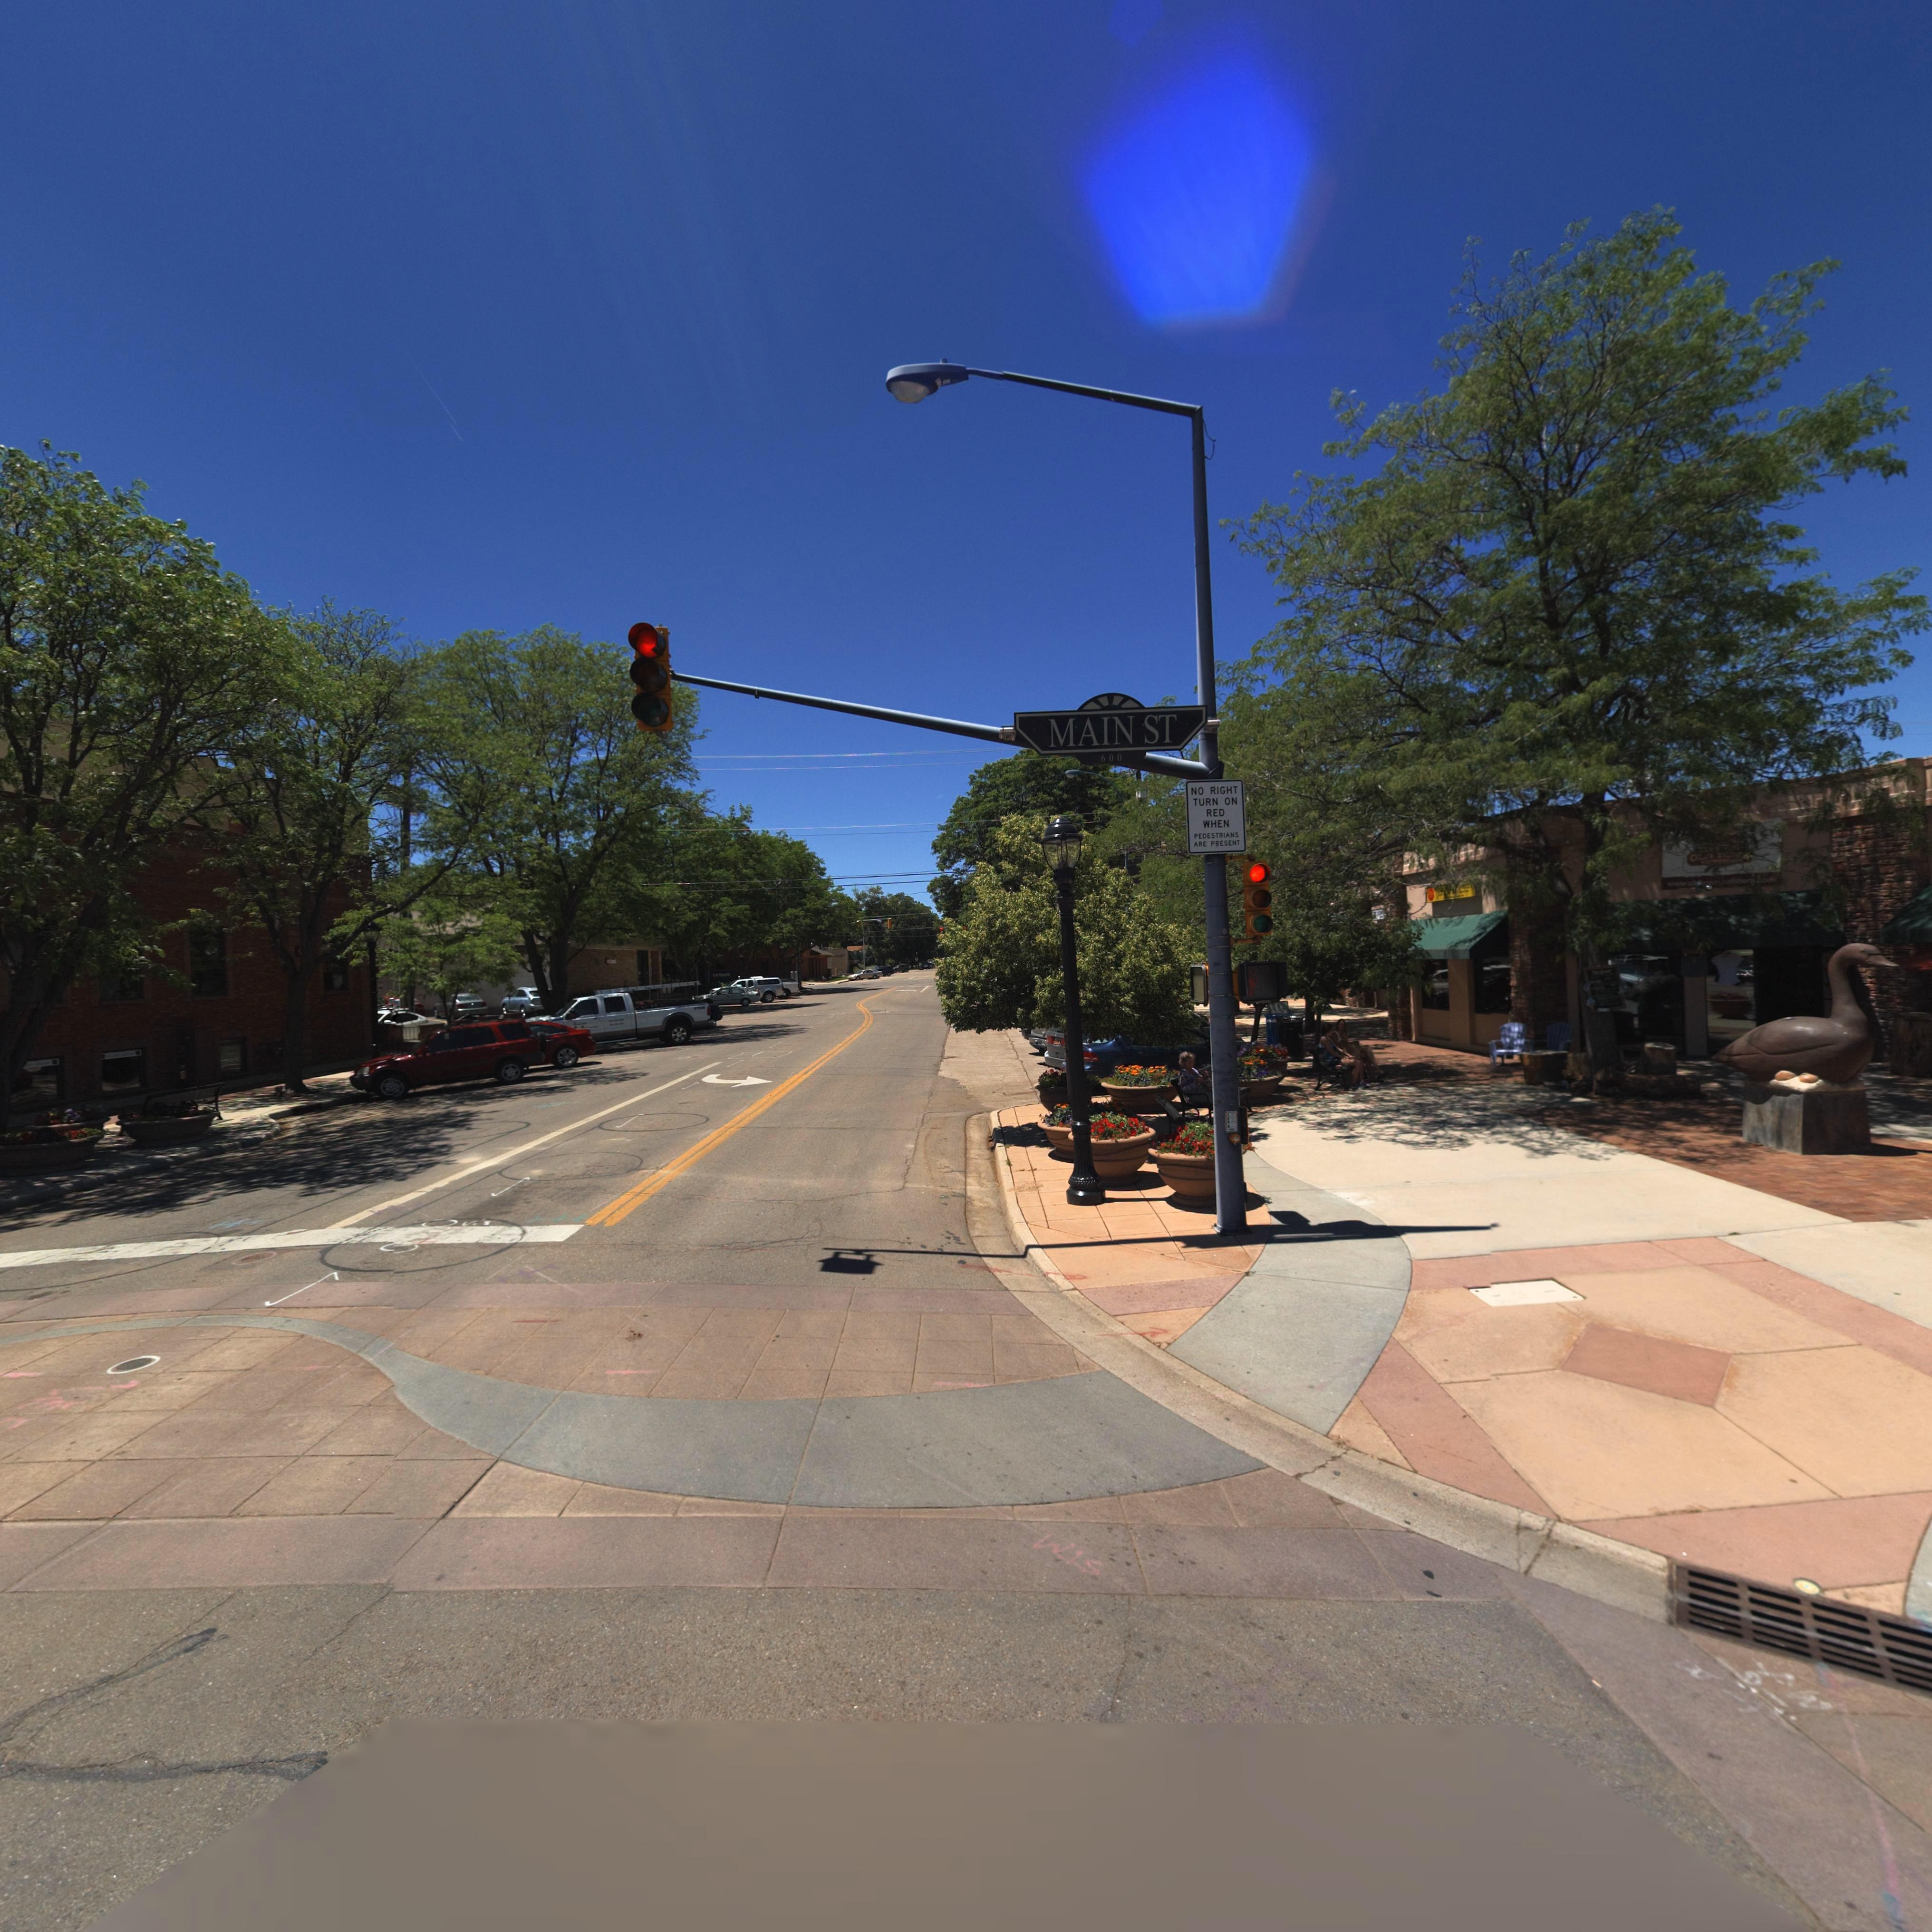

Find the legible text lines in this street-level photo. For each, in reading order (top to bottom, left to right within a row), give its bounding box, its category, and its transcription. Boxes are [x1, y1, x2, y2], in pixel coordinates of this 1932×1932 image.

[1046, 713, 1177, 747] StreetName: MAIN ST
[1100, 753, 1122, 762] StreetNumberRange: 600
[1689, 851, 1724, 863] BusinessName: OLD T